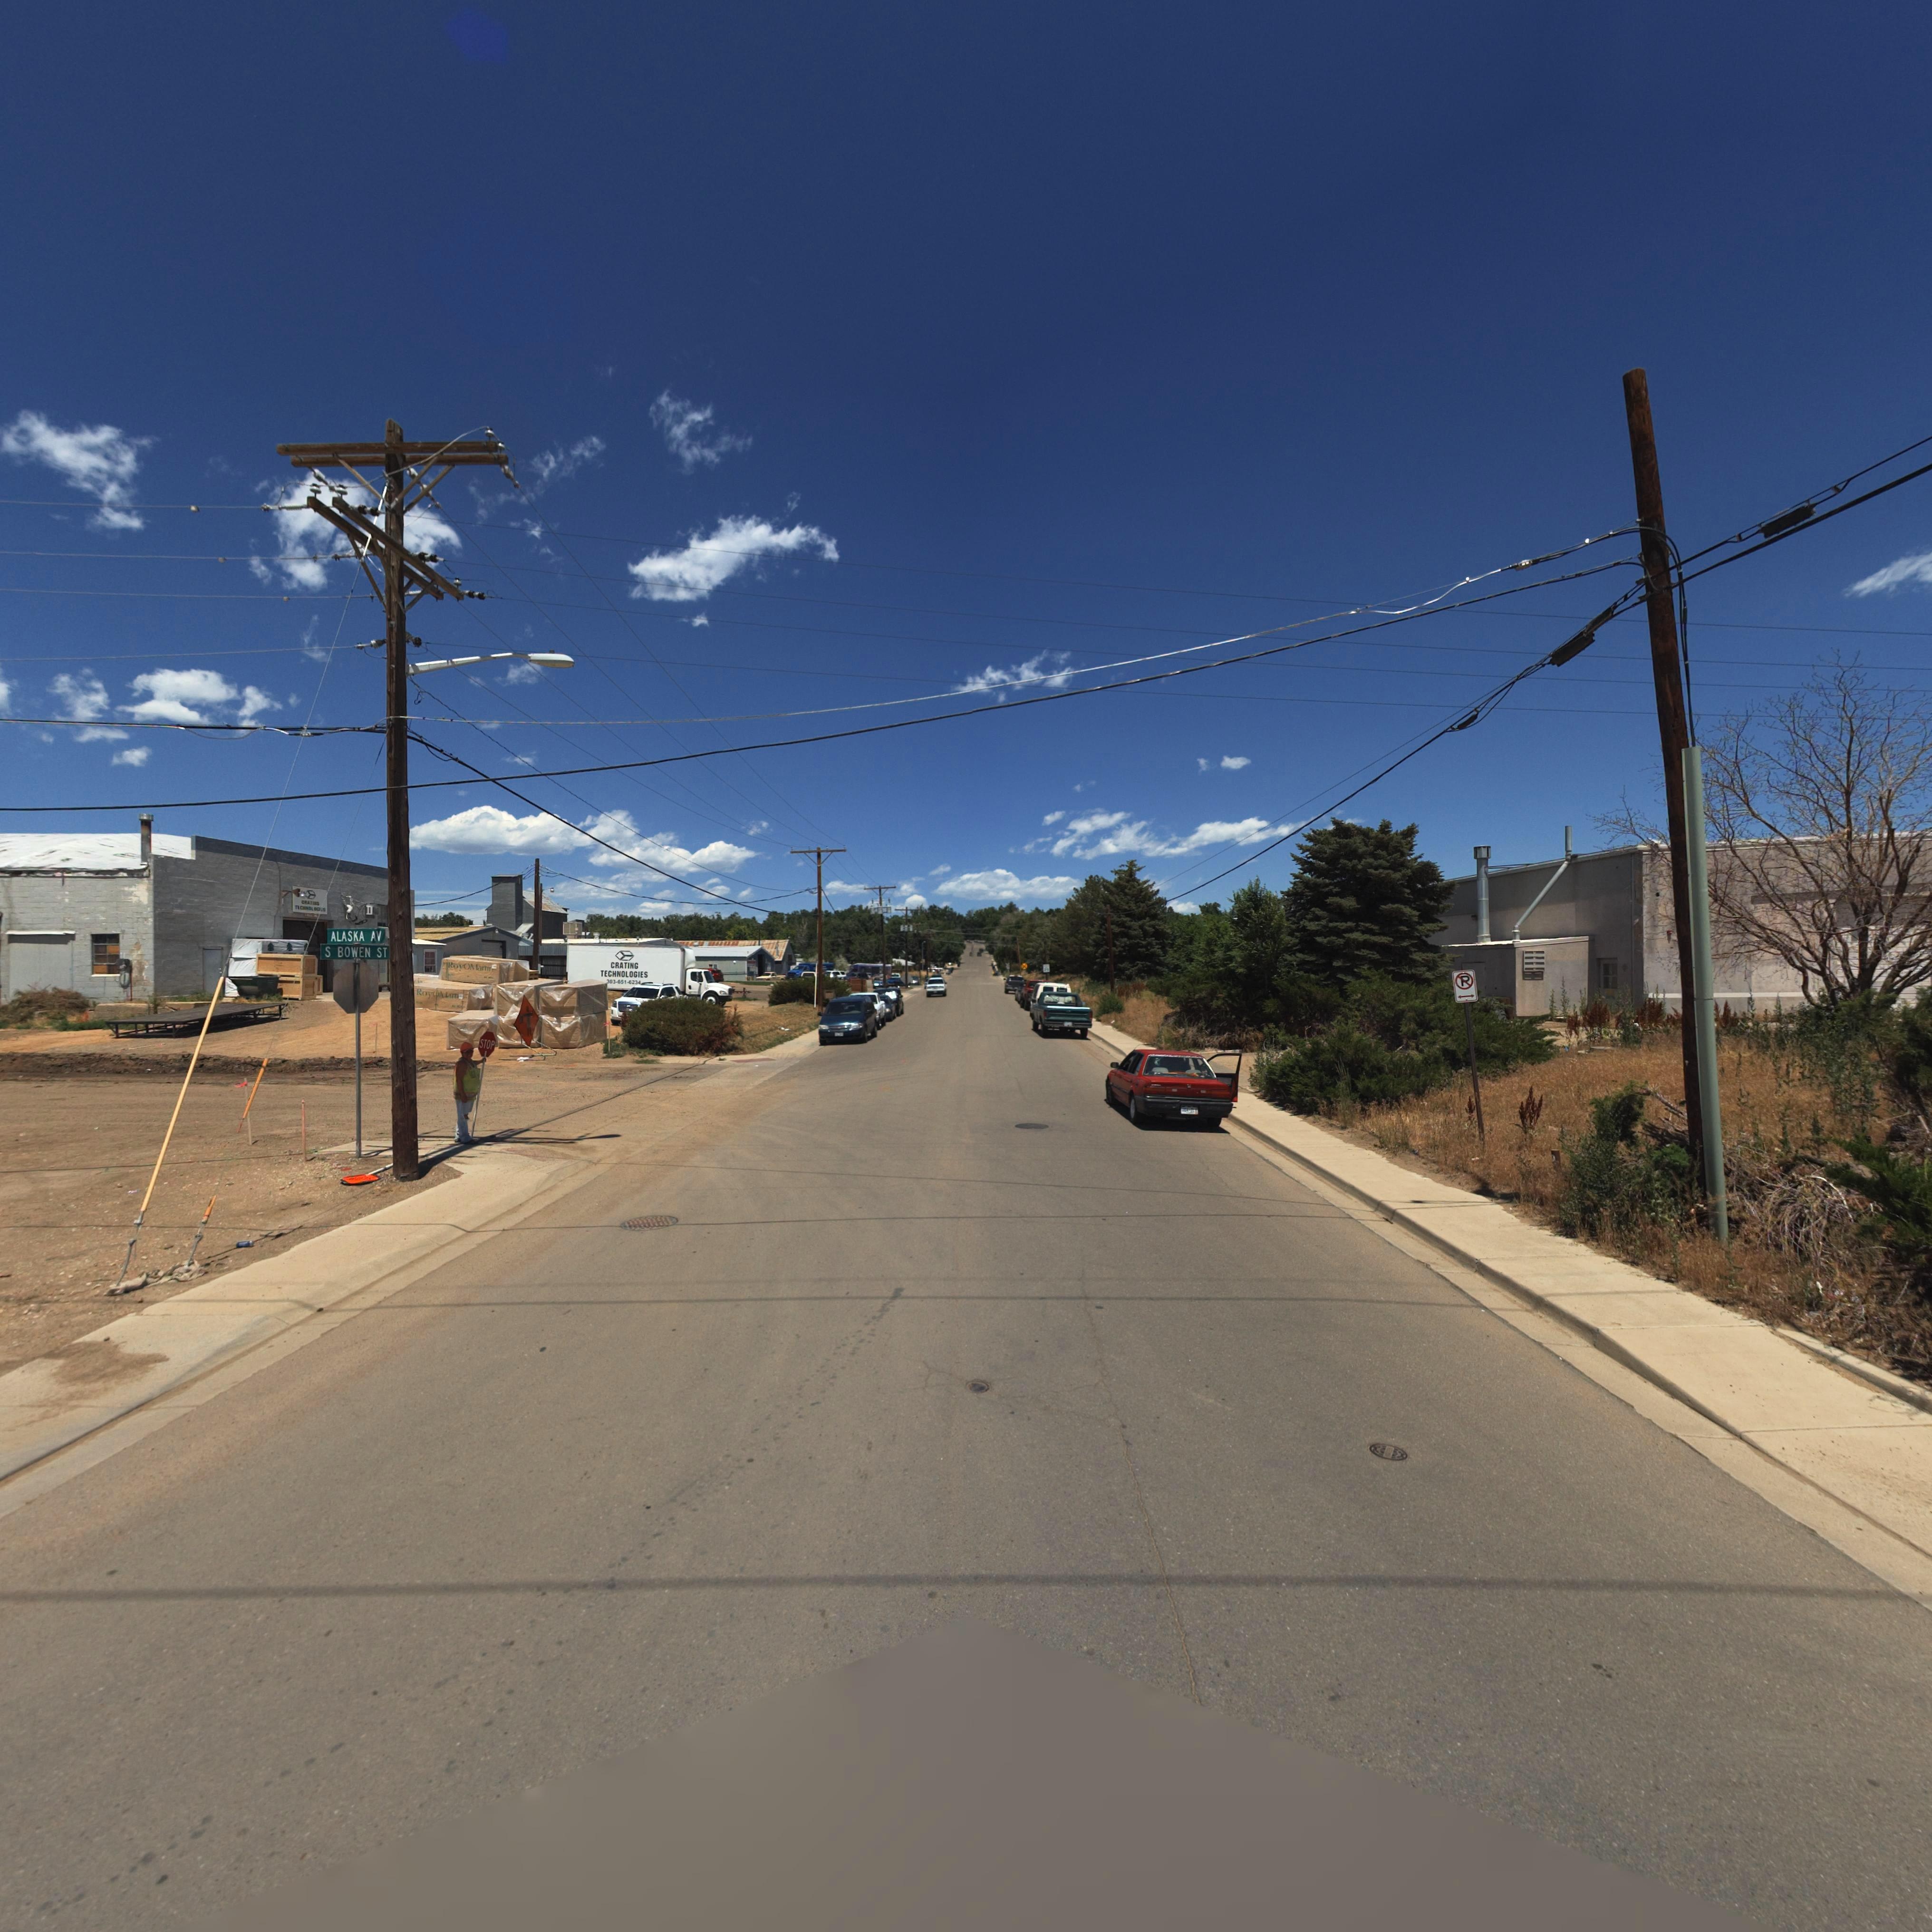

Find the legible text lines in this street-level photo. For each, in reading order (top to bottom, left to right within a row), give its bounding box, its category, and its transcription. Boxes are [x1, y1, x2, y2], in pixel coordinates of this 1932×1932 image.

[294, 905, 326, 912] BusinessName: TEC***LO*I**
[301, 899, 319, 906] BusinessName: C*ATI**
[330, 930, 382, 942] StreetName: ALASKA AV
[324, 946, 387, 958] StreetName: S BOWEN ST